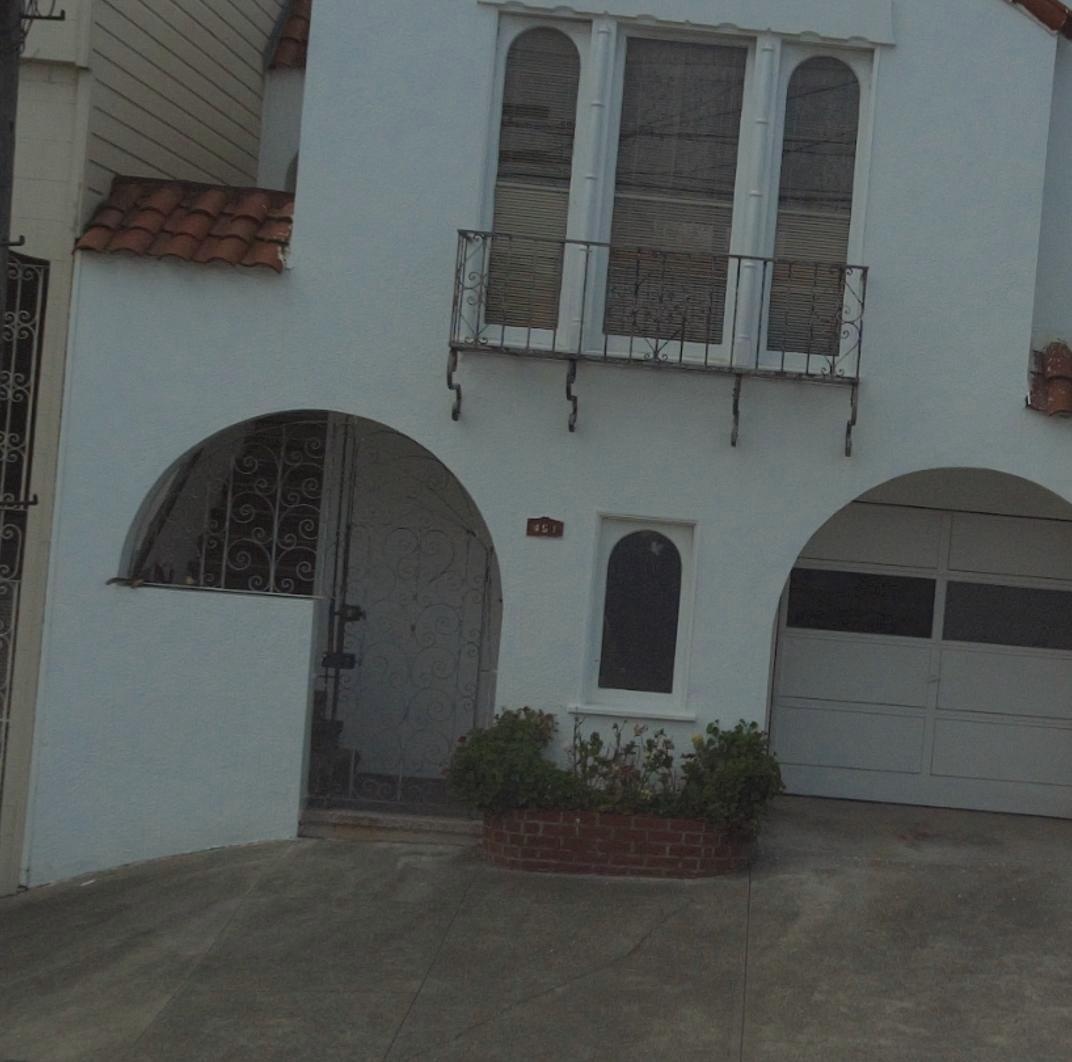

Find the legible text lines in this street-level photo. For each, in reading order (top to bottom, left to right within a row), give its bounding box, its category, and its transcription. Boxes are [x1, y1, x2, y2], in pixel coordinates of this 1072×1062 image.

[531, 522, 558, 535] StreetNumber: 451